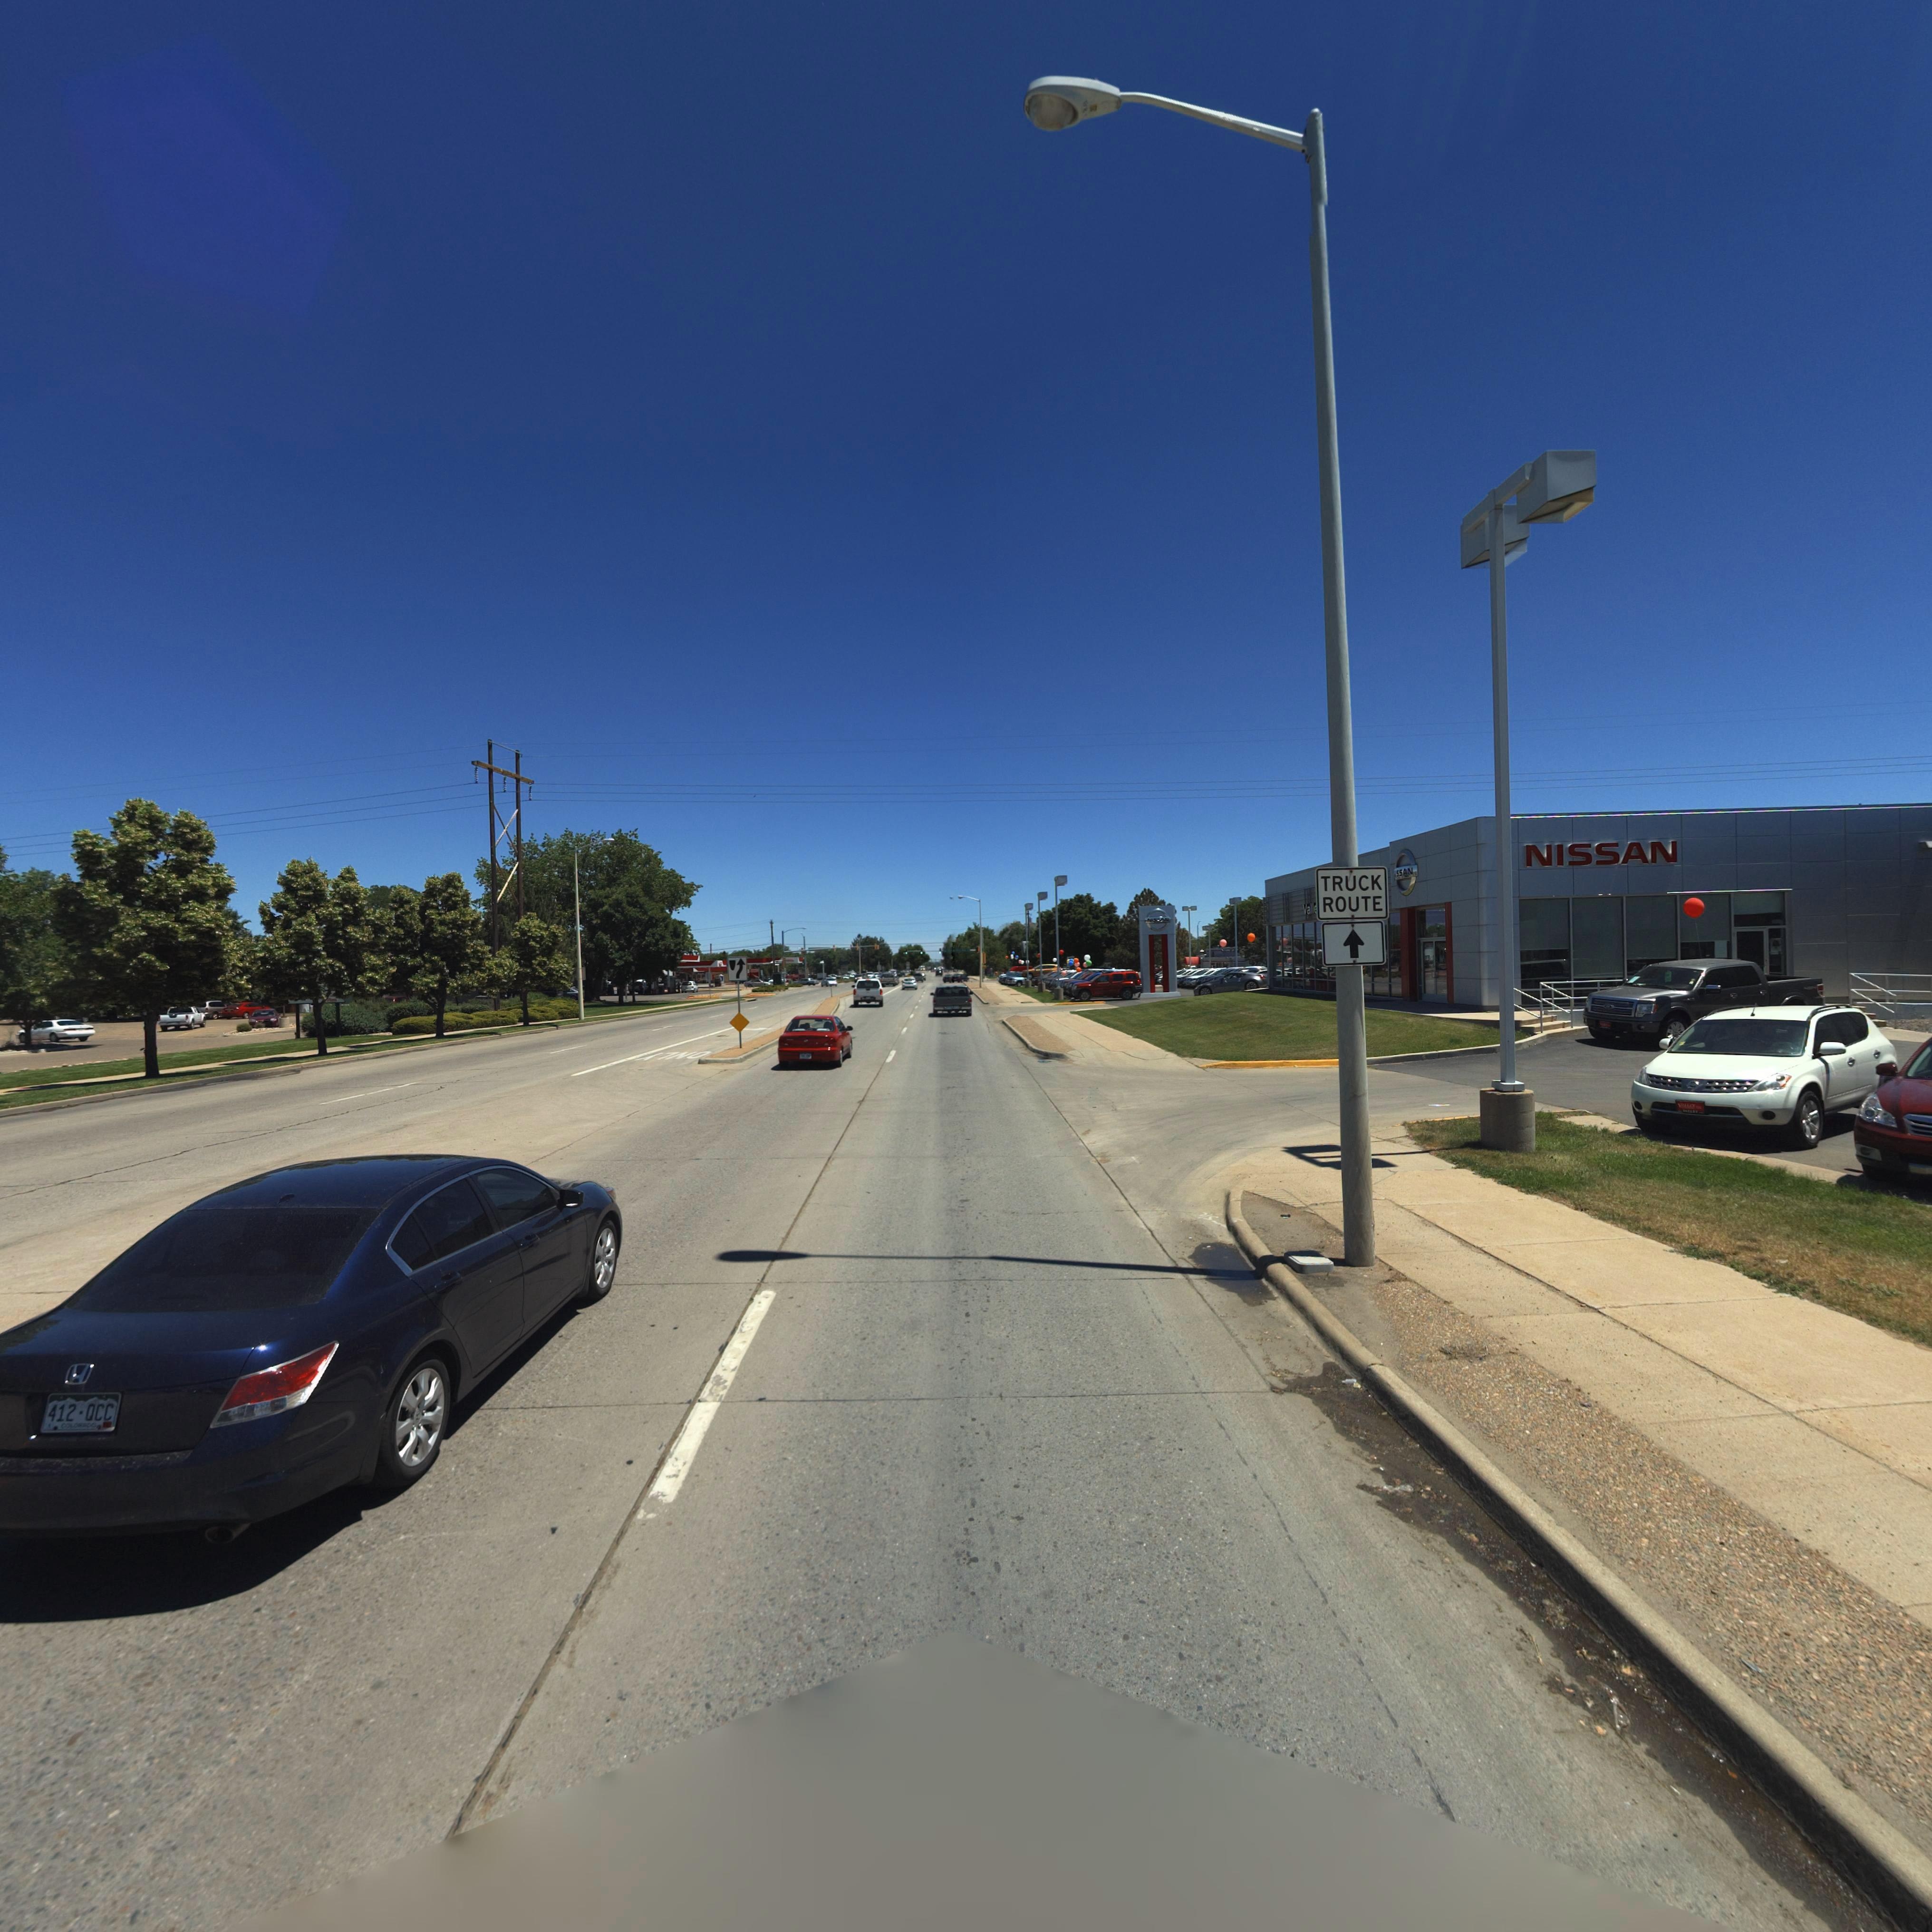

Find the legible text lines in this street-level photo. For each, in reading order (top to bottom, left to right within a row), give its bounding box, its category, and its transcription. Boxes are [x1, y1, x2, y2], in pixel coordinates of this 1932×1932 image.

[1525, 840, 1678, 868] BusinessName: NISSAN
[1396, 867, 1413, 877] BusinessName: SSAN
[1301, 902, 1314, 915] BusinessName: Vall